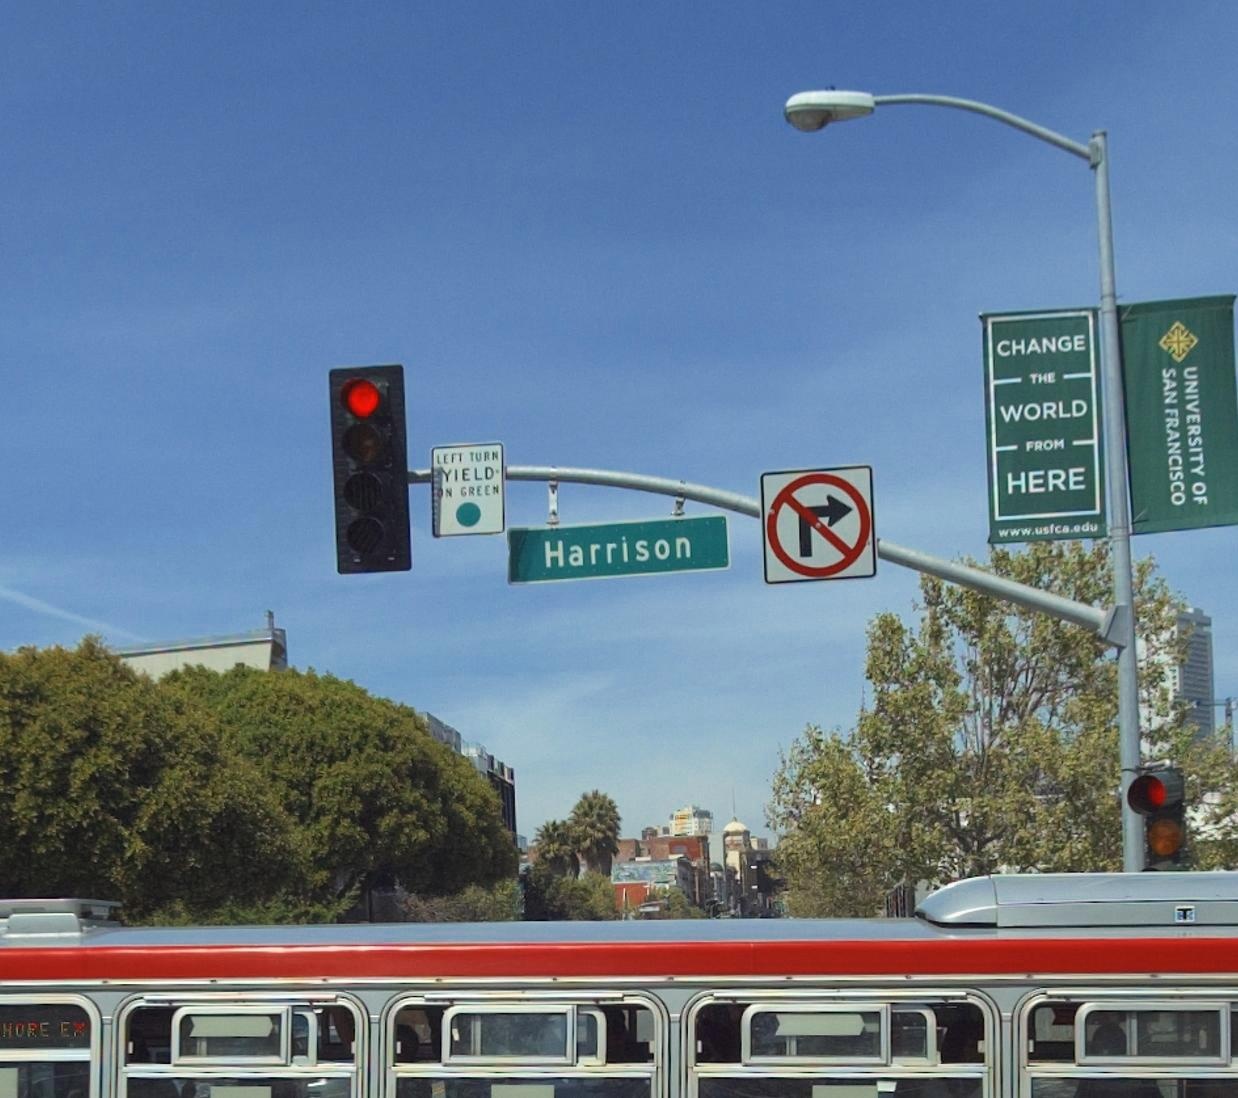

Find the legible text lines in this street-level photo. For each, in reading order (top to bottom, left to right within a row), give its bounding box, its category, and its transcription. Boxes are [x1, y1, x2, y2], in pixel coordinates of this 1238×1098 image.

[996, 332, 1087, 357] None: CHANGE
[1028, 371, 1057, 385] None: THE
[998, 399, 1088, 424] None: WORLD
[1160, 365, 1186, 506] None: SAN FRANCISCO
[1181, 364, 1210, 507] None: UNIVERSITY OF
[1024, 438, 1067, 453] None: FROM
[432, 448, 501, 466] None: LEFT TURN
[437, 464, 496, 483] None: YIELD
[1005, 466, 1087, 496] None: HERE
[435, 483, 500, 499] None: ON GREEN
[996, 520, 1101, 538] None: www.usfc*.edu
[540, 532, 693, 571] StreetName: Harrison
[1, 1021, 87, 1039] None: MORE EX